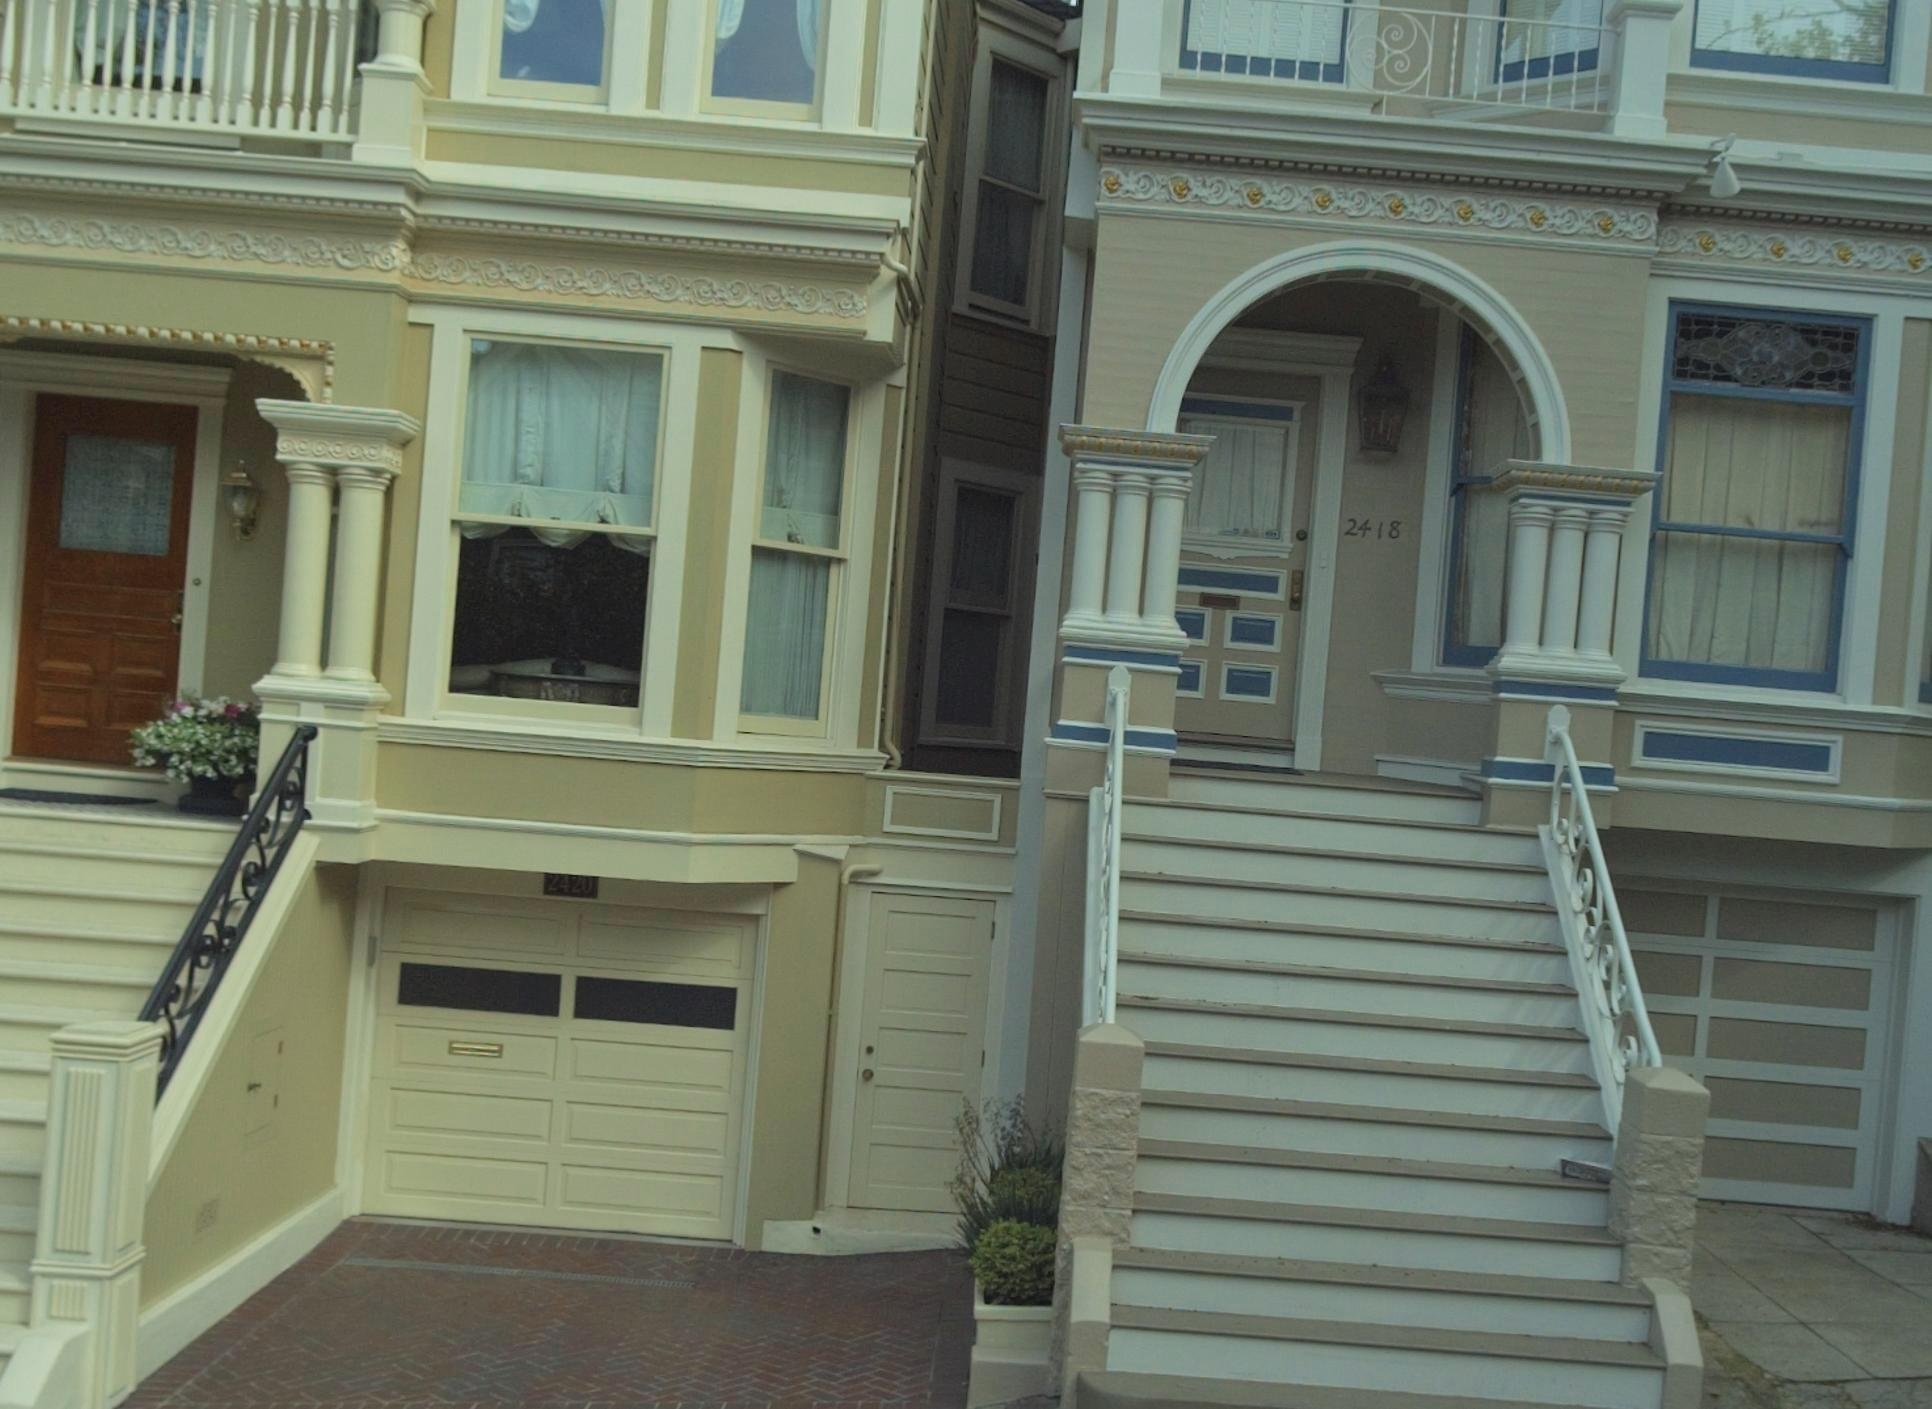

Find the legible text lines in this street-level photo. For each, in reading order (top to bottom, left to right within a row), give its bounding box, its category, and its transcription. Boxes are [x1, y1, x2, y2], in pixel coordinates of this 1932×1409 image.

[1341, 515, 1405, 541] StreetNumber: 2418
[545, 871, 595, 897] StreetNumber: 2420